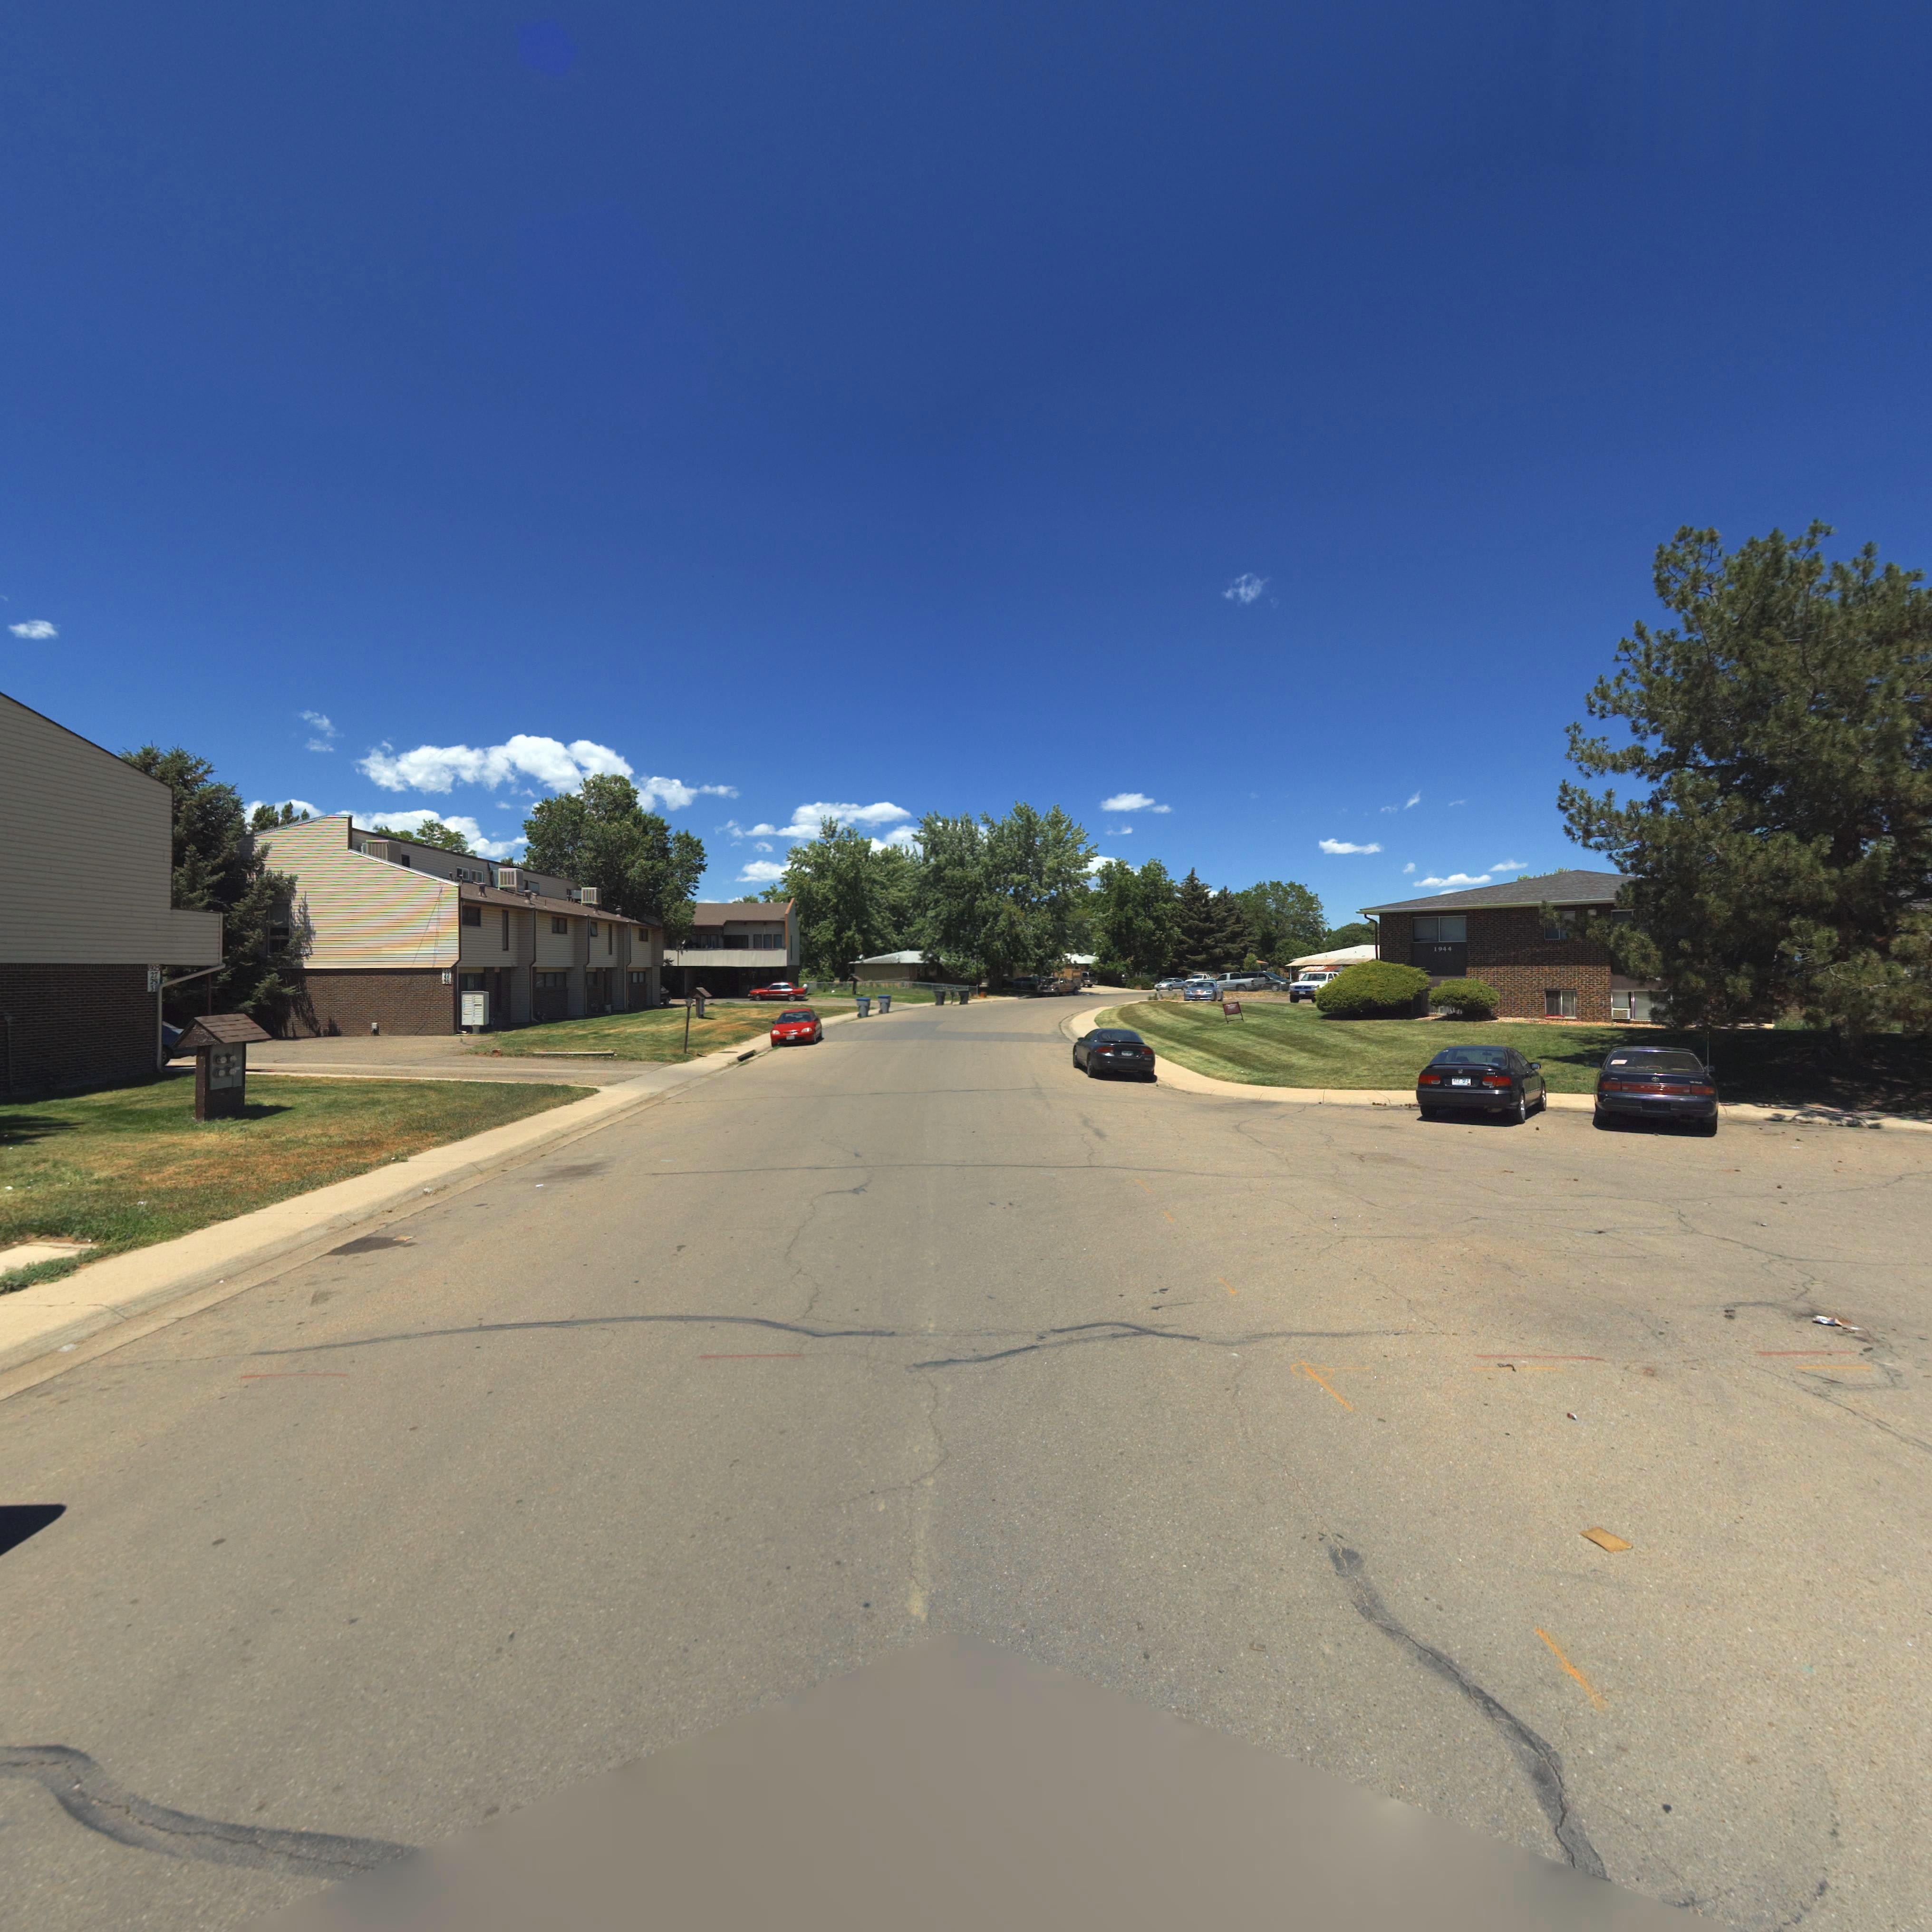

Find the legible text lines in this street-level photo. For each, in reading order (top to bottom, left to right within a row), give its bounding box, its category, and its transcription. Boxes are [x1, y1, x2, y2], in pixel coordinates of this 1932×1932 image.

[1433, 946, 1452, 952] StreetNumber: 1944
[148, 964, 161, 972] StreetNumber: 925
[443, 967, 452, 972] StreetNumber: 933
[150, 971, 158, 978] StreetNumber: 27
[149, 978, 158, 985] StreetNumber: 29
[443, 979, 449, 984] StreetNumber: *9
[150, 985, 157, 992] StreetNumber: 31